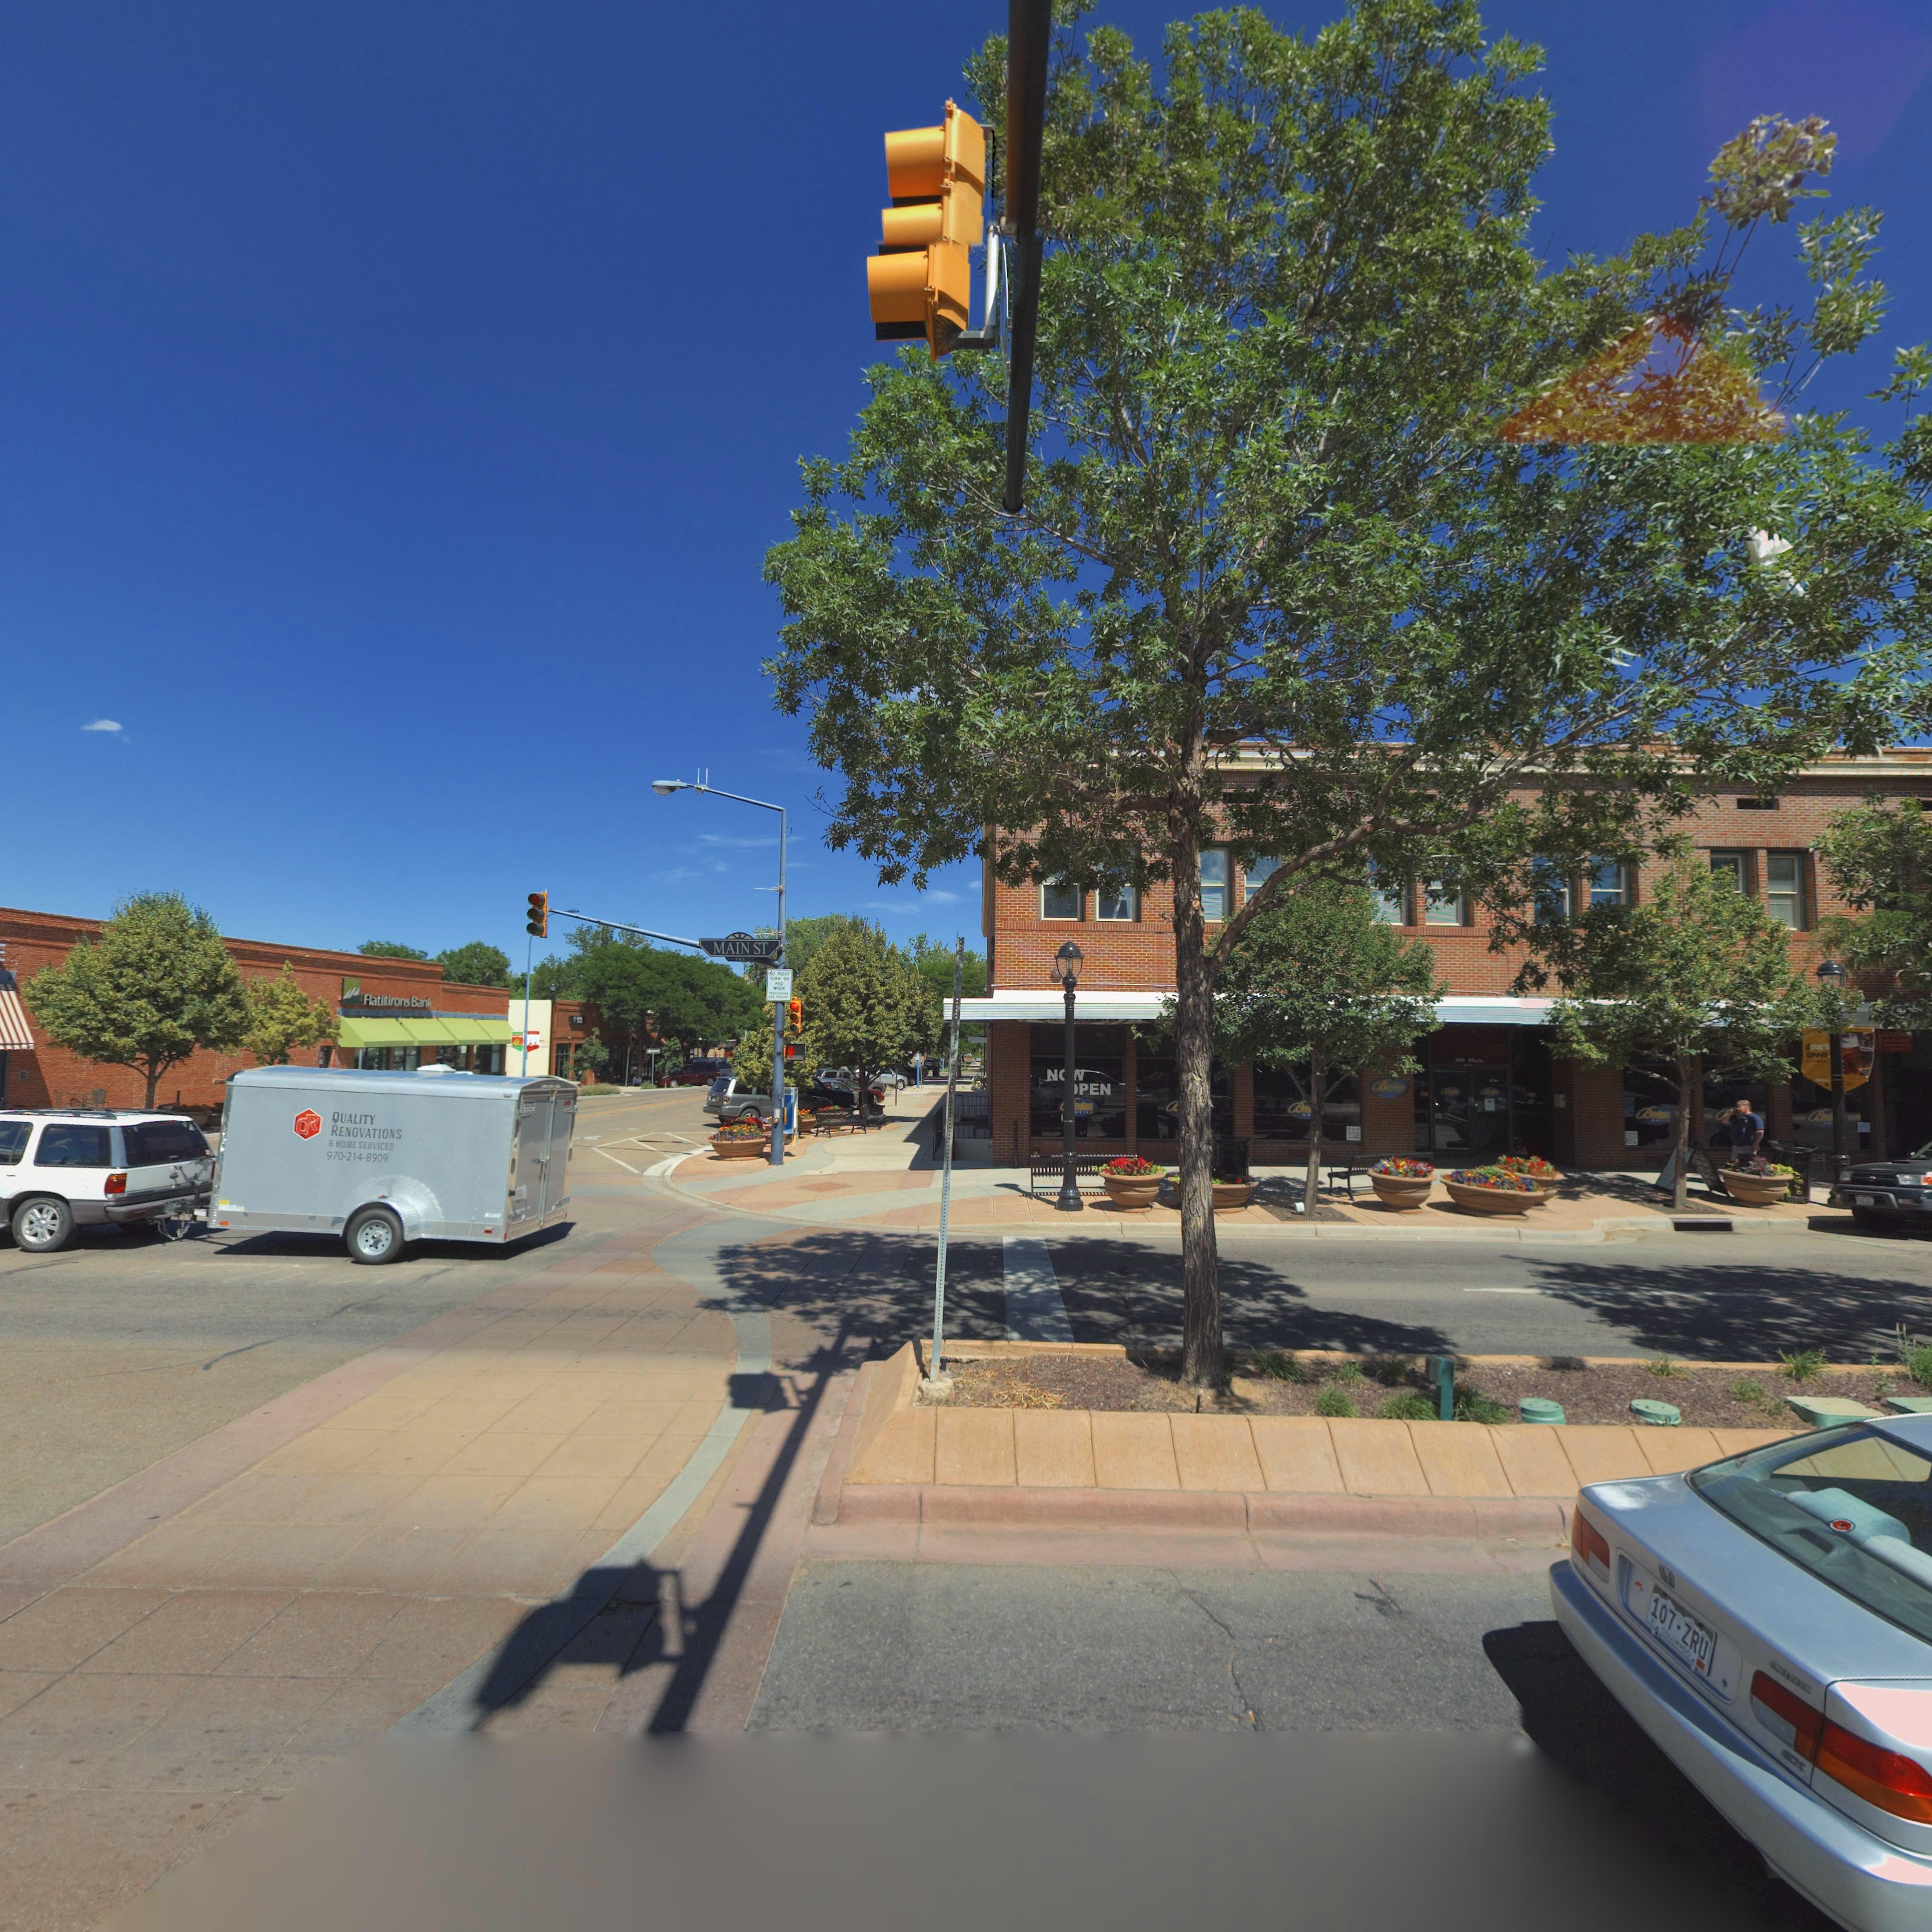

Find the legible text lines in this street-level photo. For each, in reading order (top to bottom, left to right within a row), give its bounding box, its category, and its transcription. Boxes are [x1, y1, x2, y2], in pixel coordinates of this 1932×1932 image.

[713, 941, 768, 955] StreetName: MAIN ST
[735, 957, 745, 961] StreetNumberRange: *00
[363, 993, 432, 1008] BusinessName: Flatr*tirons Bank
[1467, 1057, 1484, 1063] StreetName: Main
[1377, 1080, 1405, 1091] BusinessName: B*******
[1073, 1101, 1093, 1110] BusinessName: reakers
[1294, 1101, 1312, 1112] BusinessName: Brea
[1642, 1108, 1670, 1119] BusinessName: Breakers